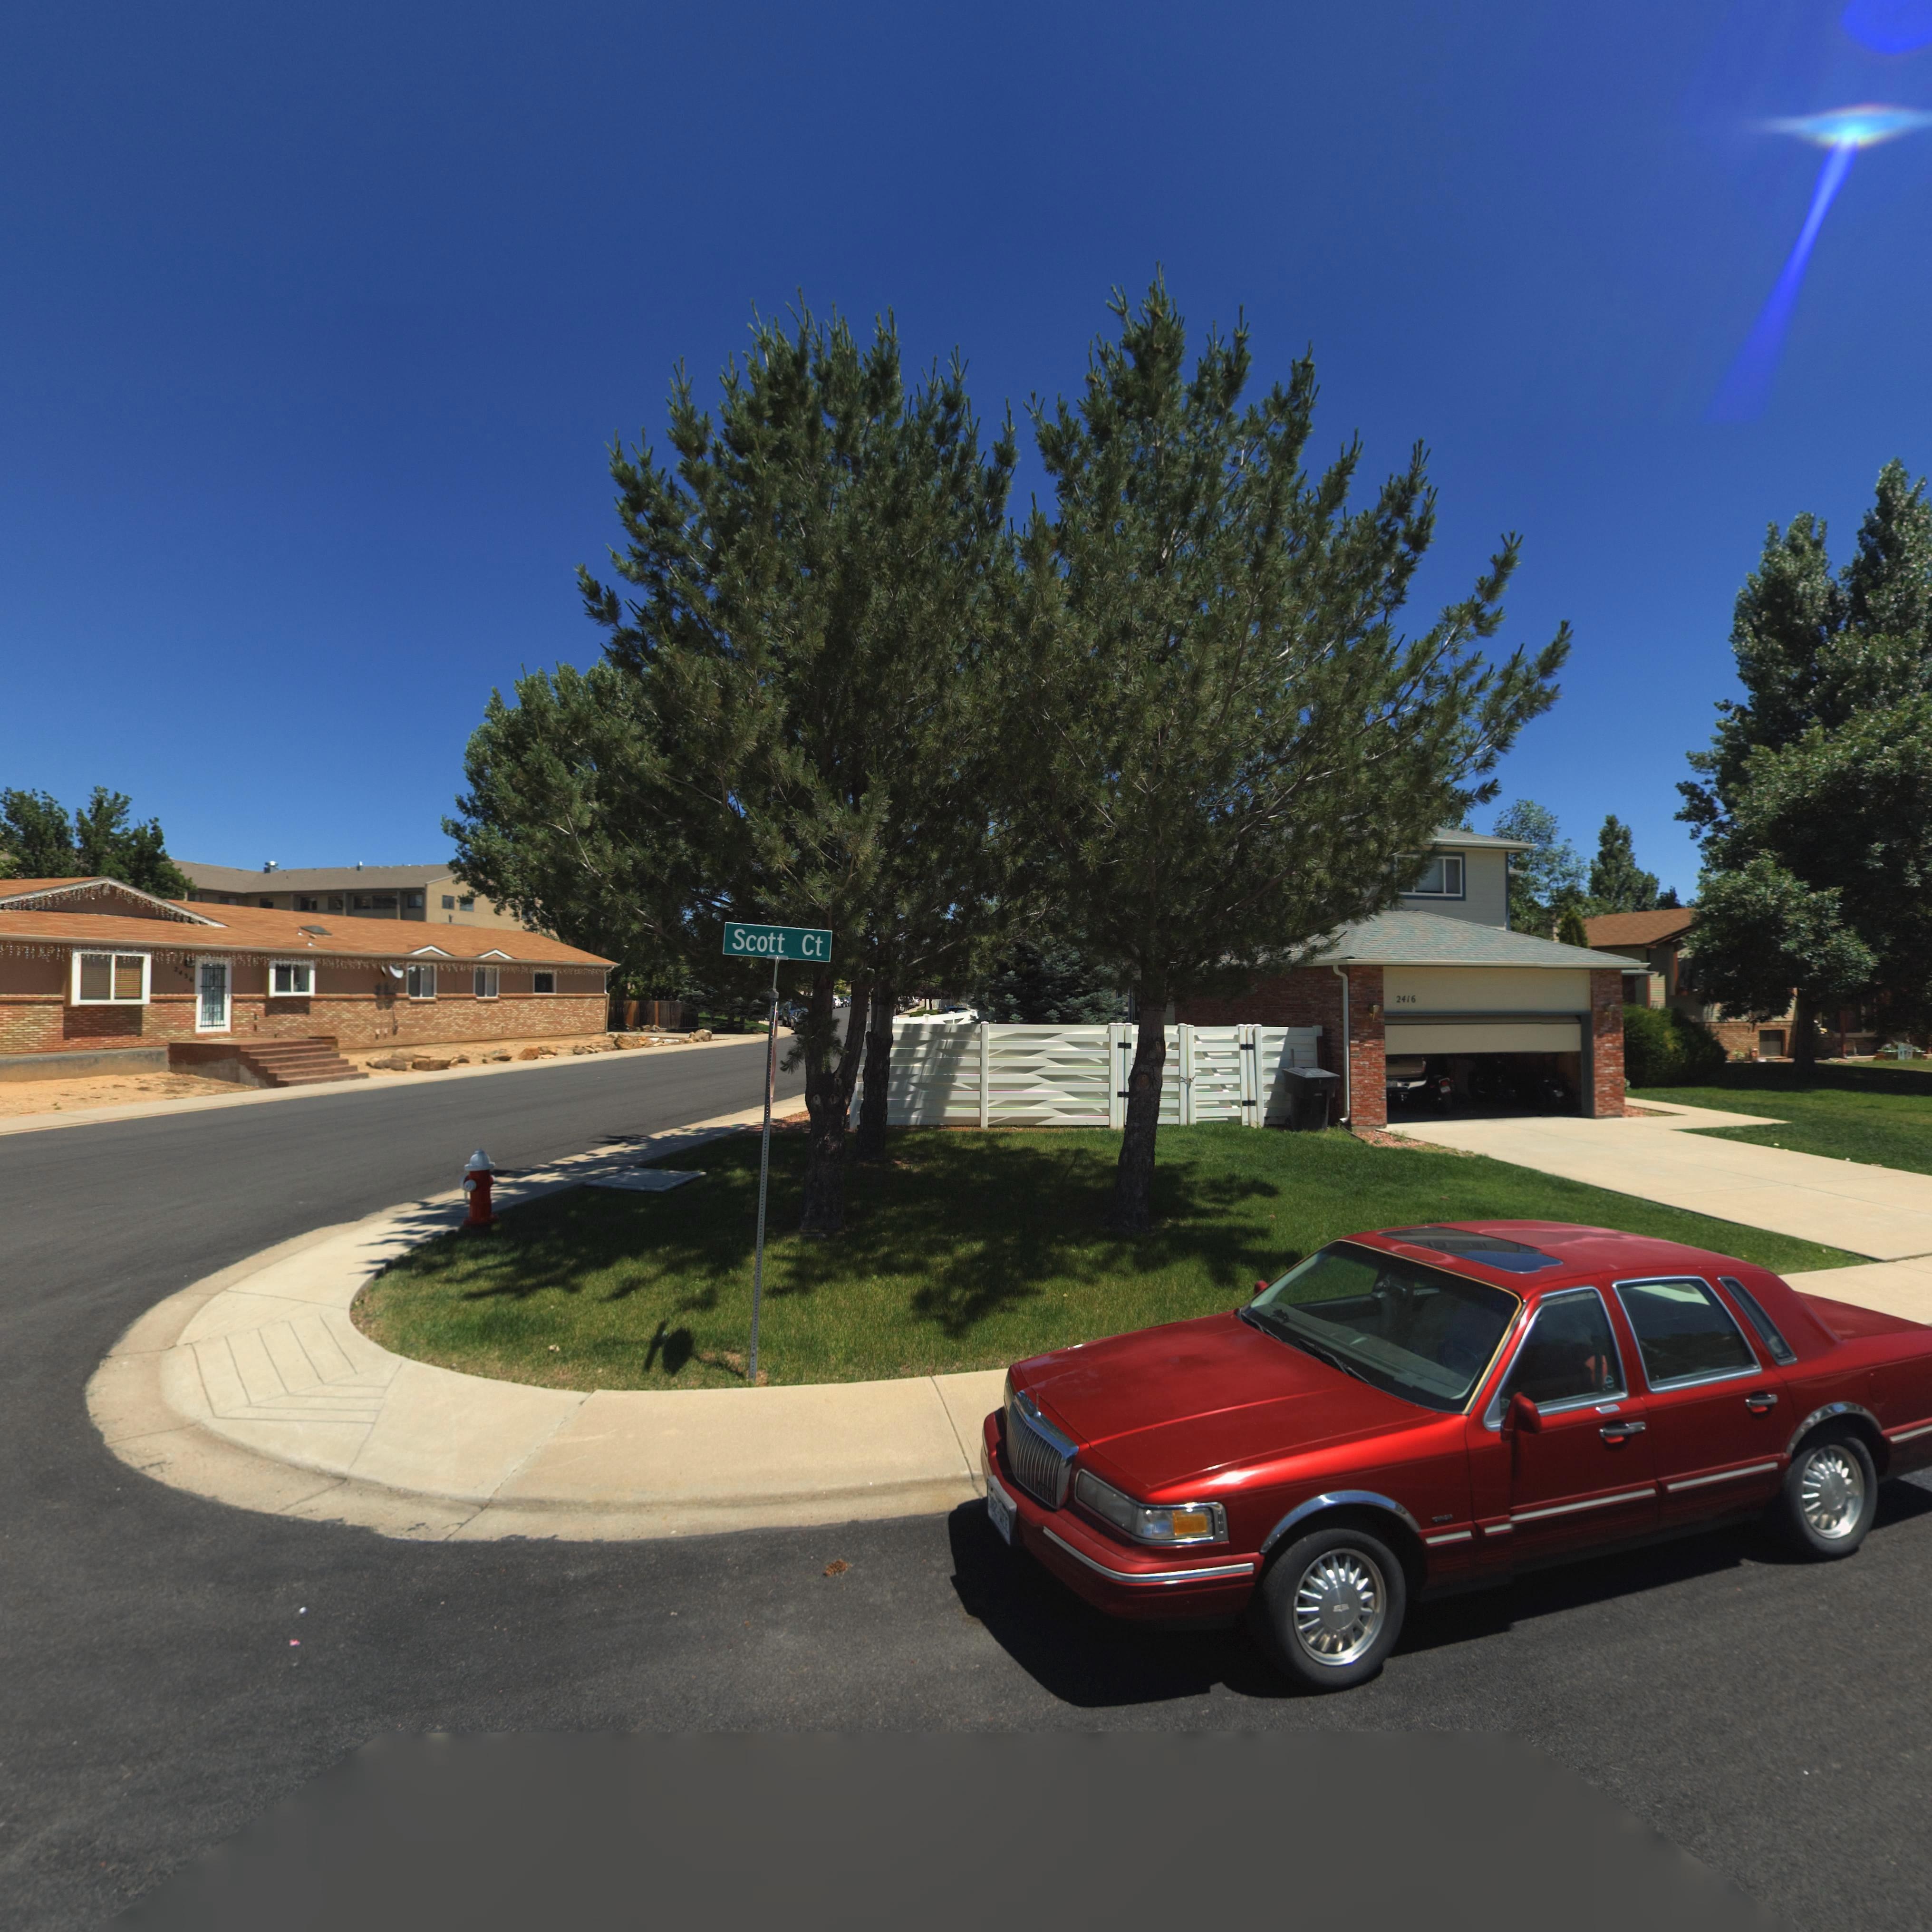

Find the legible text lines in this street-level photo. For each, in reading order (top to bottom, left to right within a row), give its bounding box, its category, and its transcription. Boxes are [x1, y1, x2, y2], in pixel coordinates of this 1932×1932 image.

[732, 928, 823, 956] StreetName: Scott Ct
[173, 966, 193, 983] StreetNumber: 2436
[1396, 995, 1415, 1003] StreetNumber: 2416